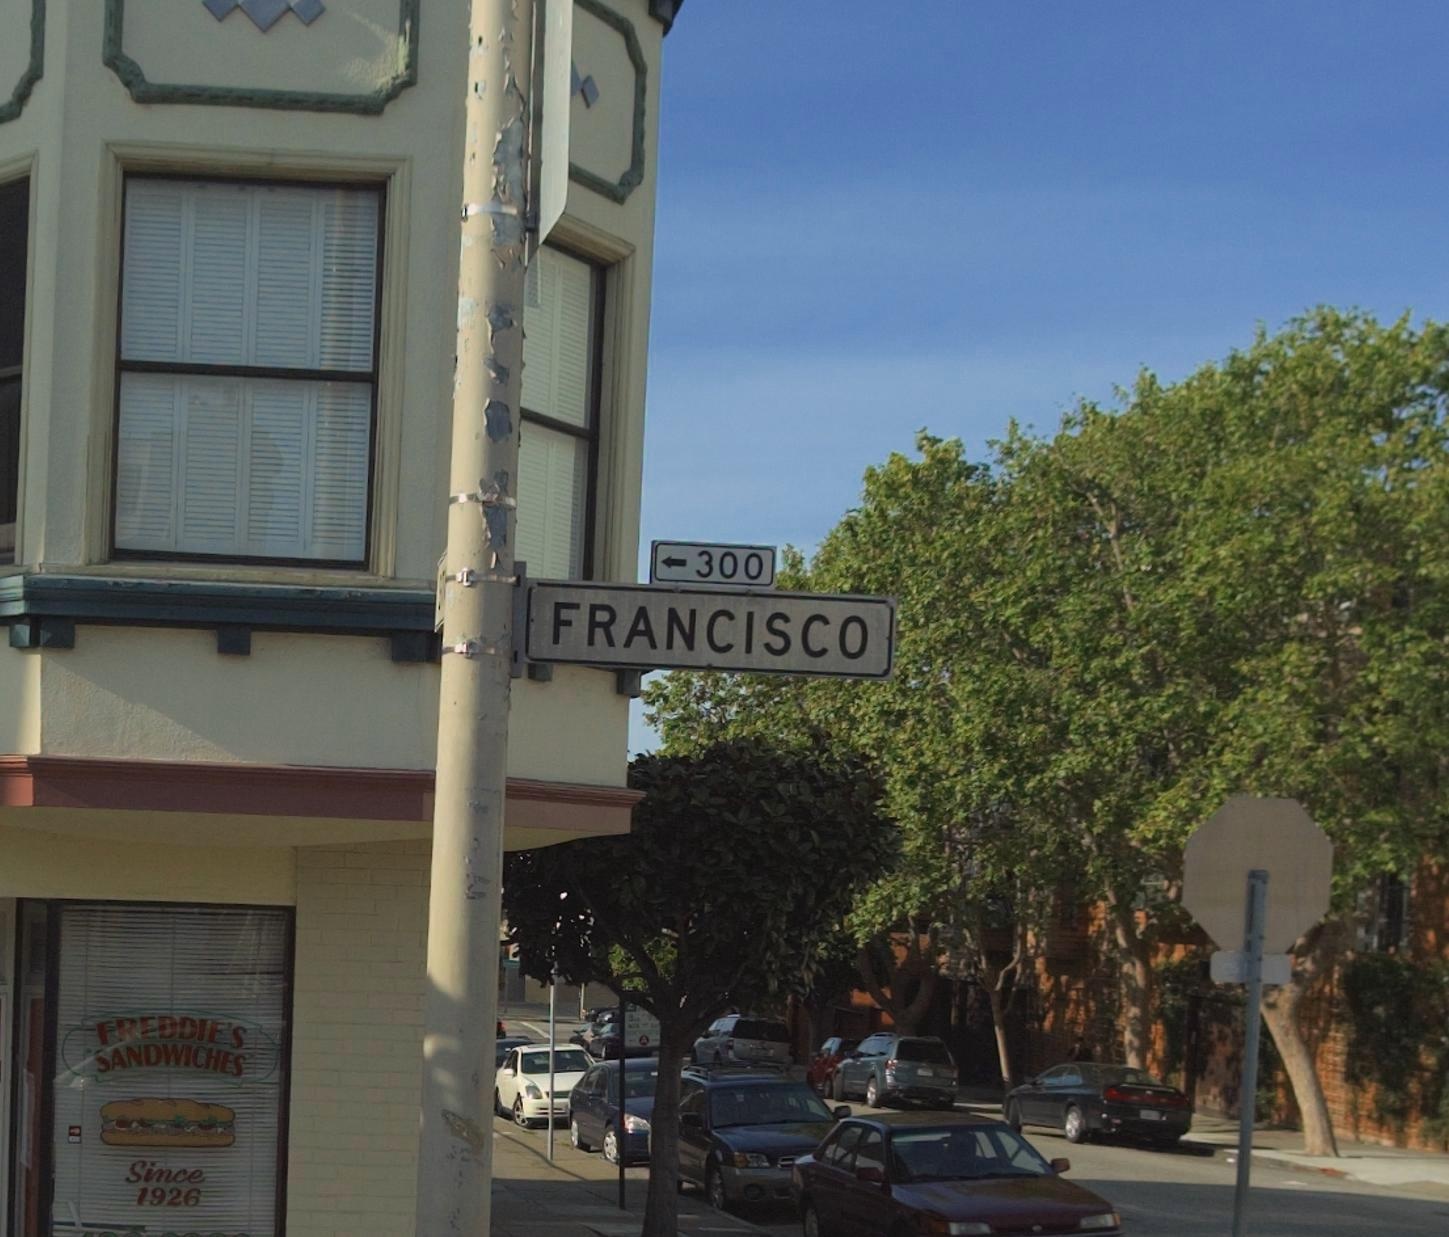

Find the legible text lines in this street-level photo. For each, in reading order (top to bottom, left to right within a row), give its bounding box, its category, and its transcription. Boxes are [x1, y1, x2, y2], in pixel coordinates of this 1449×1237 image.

[658, 546, 765, 584] StreetNumberRange: <-300
[548, 596, 874, 664] StreetName: FRANCISCO
[91, 1012, 252, 1052] BusinessName: FREDDIES
[89, 1040, 250, 1081] BusinessName: SANDWICHES
[120, 1155, 210, 1187] None: Since
[132, 1184, 206, 1210] None: 1926